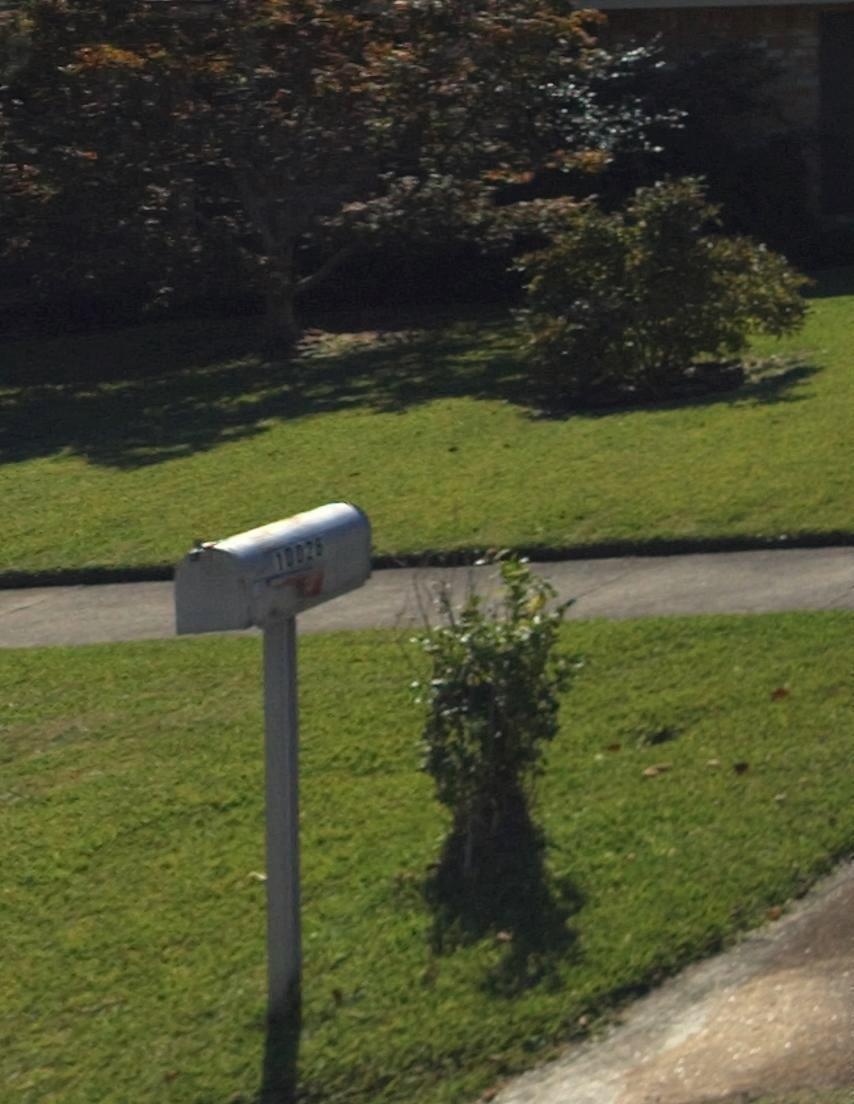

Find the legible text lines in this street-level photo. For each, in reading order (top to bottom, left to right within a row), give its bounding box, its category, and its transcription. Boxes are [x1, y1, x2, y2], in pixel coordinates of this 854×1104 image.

[274, 535, 326, 573] StreetNumber: 10026